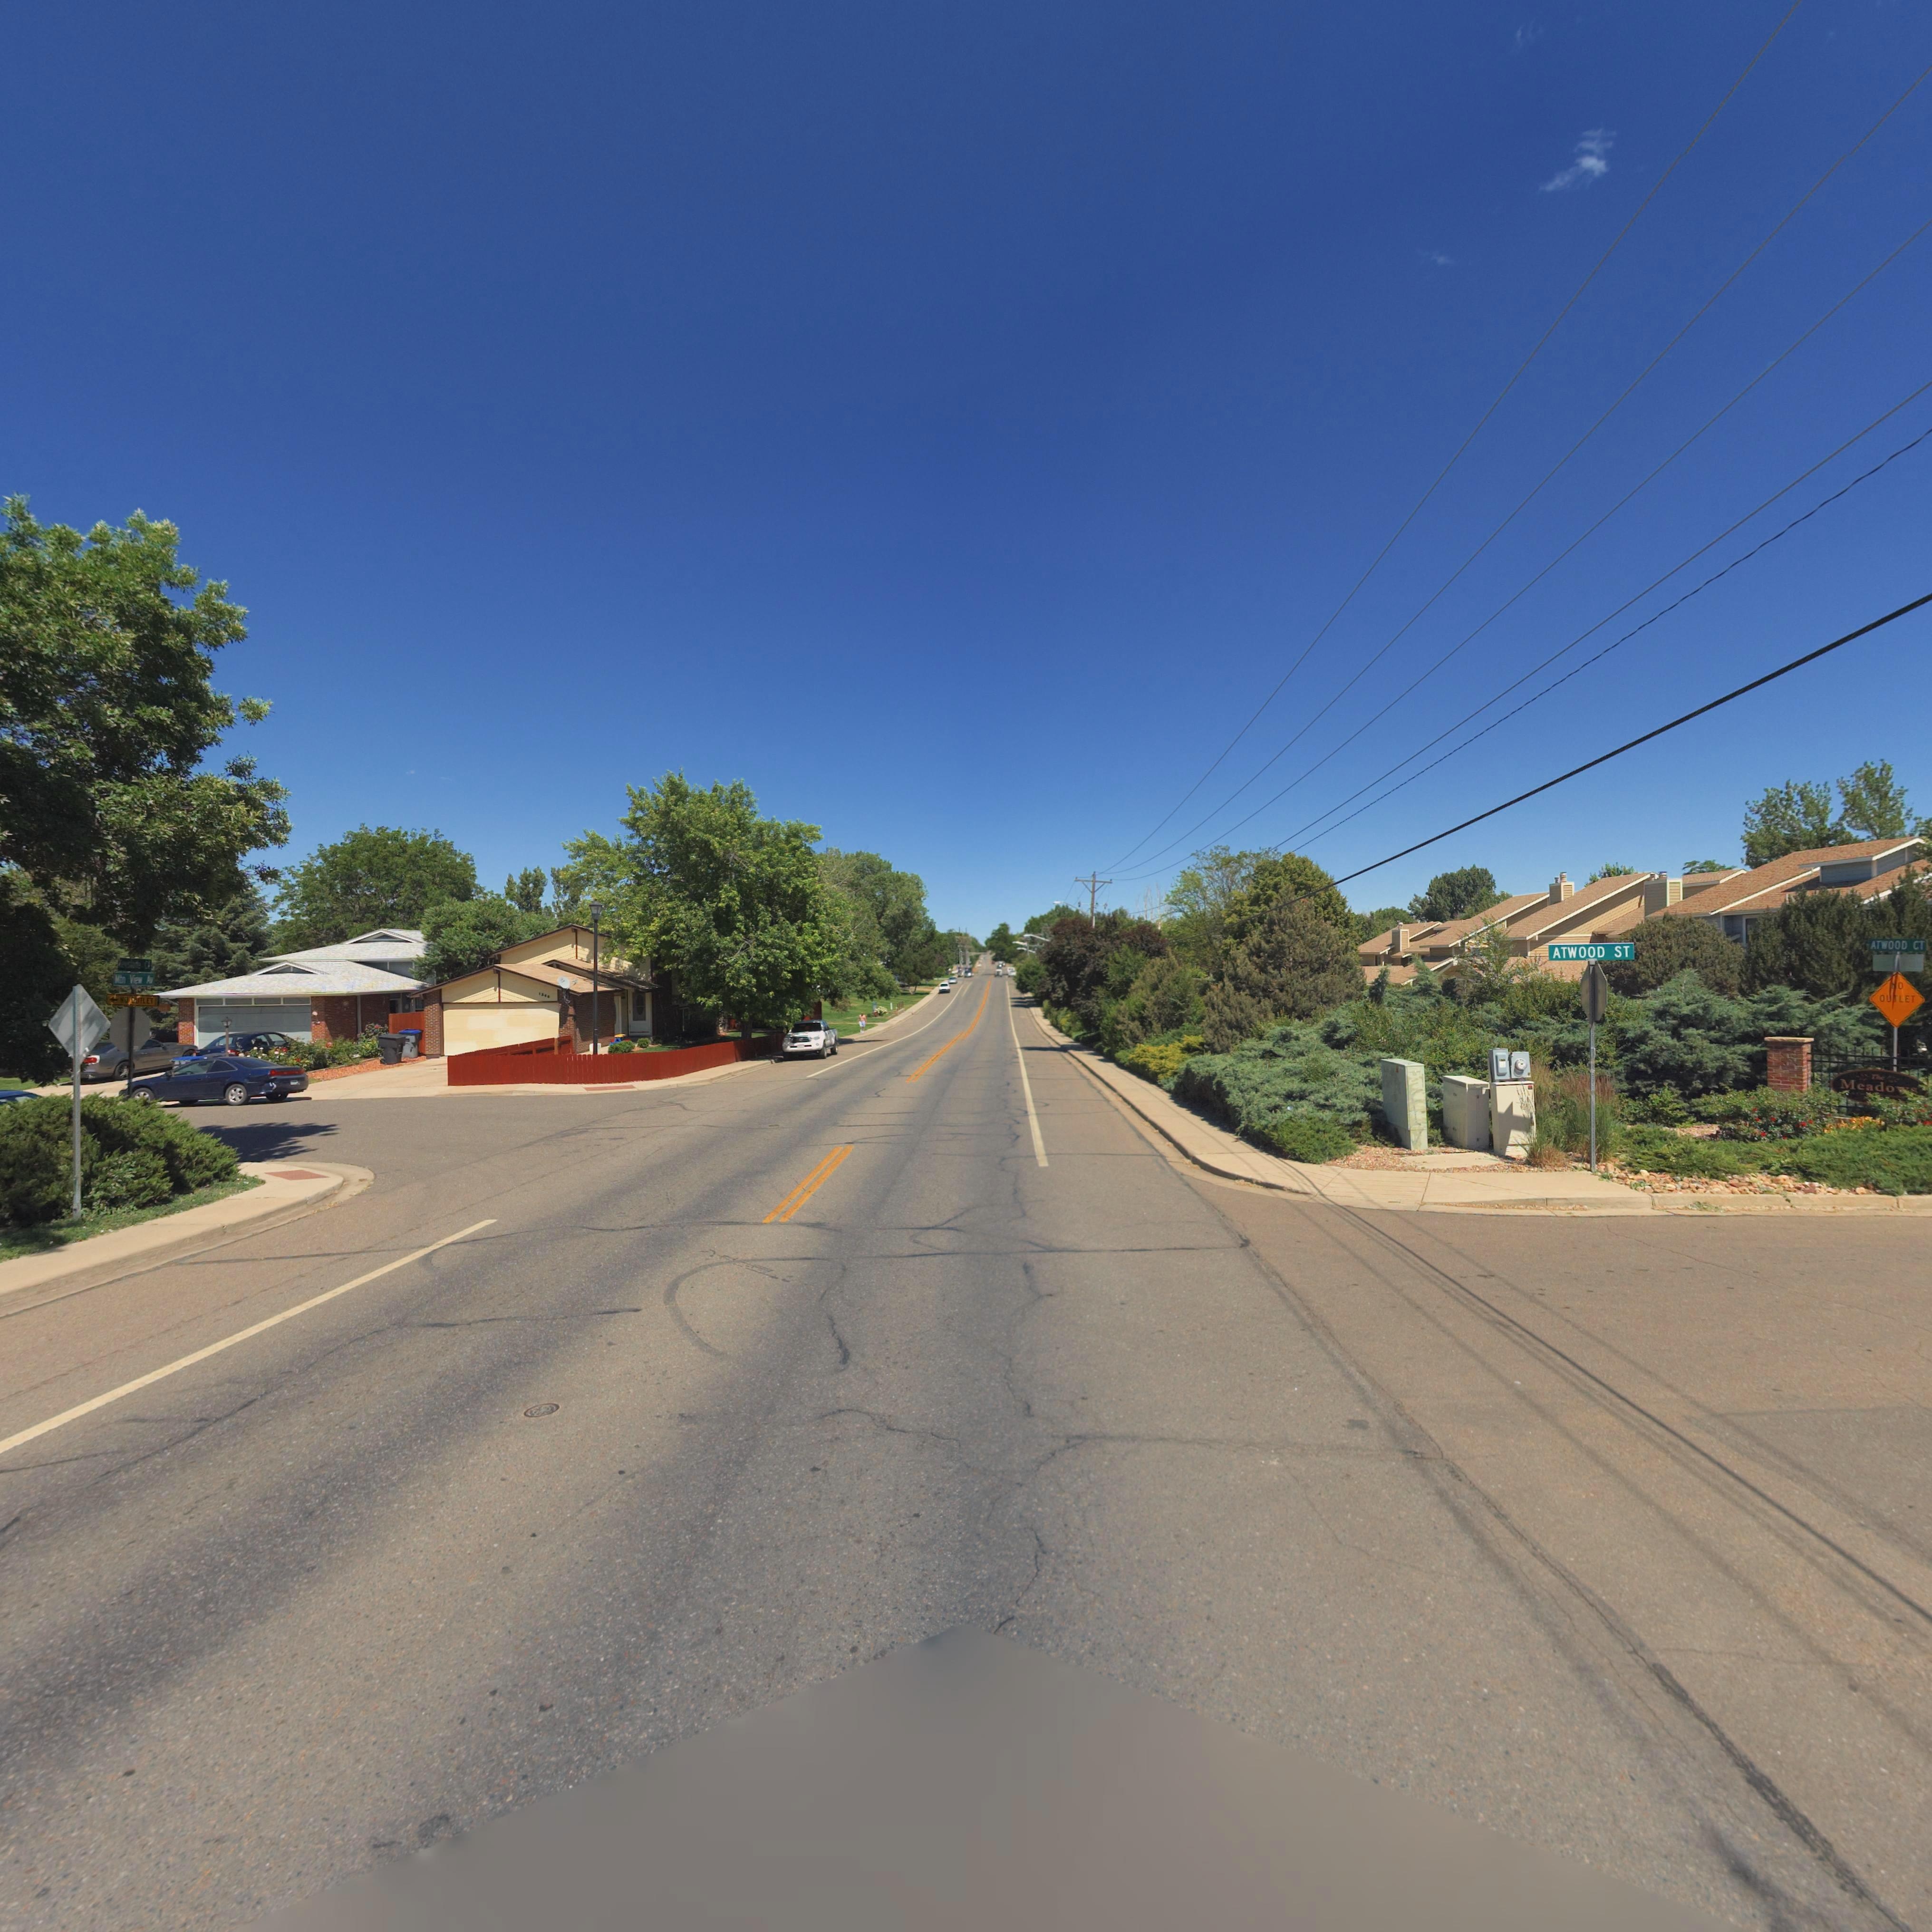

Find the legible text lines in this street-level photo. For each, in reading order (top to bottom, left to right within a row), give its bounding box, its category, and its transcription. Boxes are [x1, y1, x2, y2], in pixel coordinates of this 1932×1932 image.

[1869, 940, 1925, 950] StreetName: ATWOOD CT
[1552, 945, 1630, 959] StreetName: ATWOOD ST
[118, 959, 151, 970] StreetName: *eystone Ct
[114, 974, 154, 984] StreetName: Mtn View Av
[538, 992, 550, 998] StreetNumber: 1306